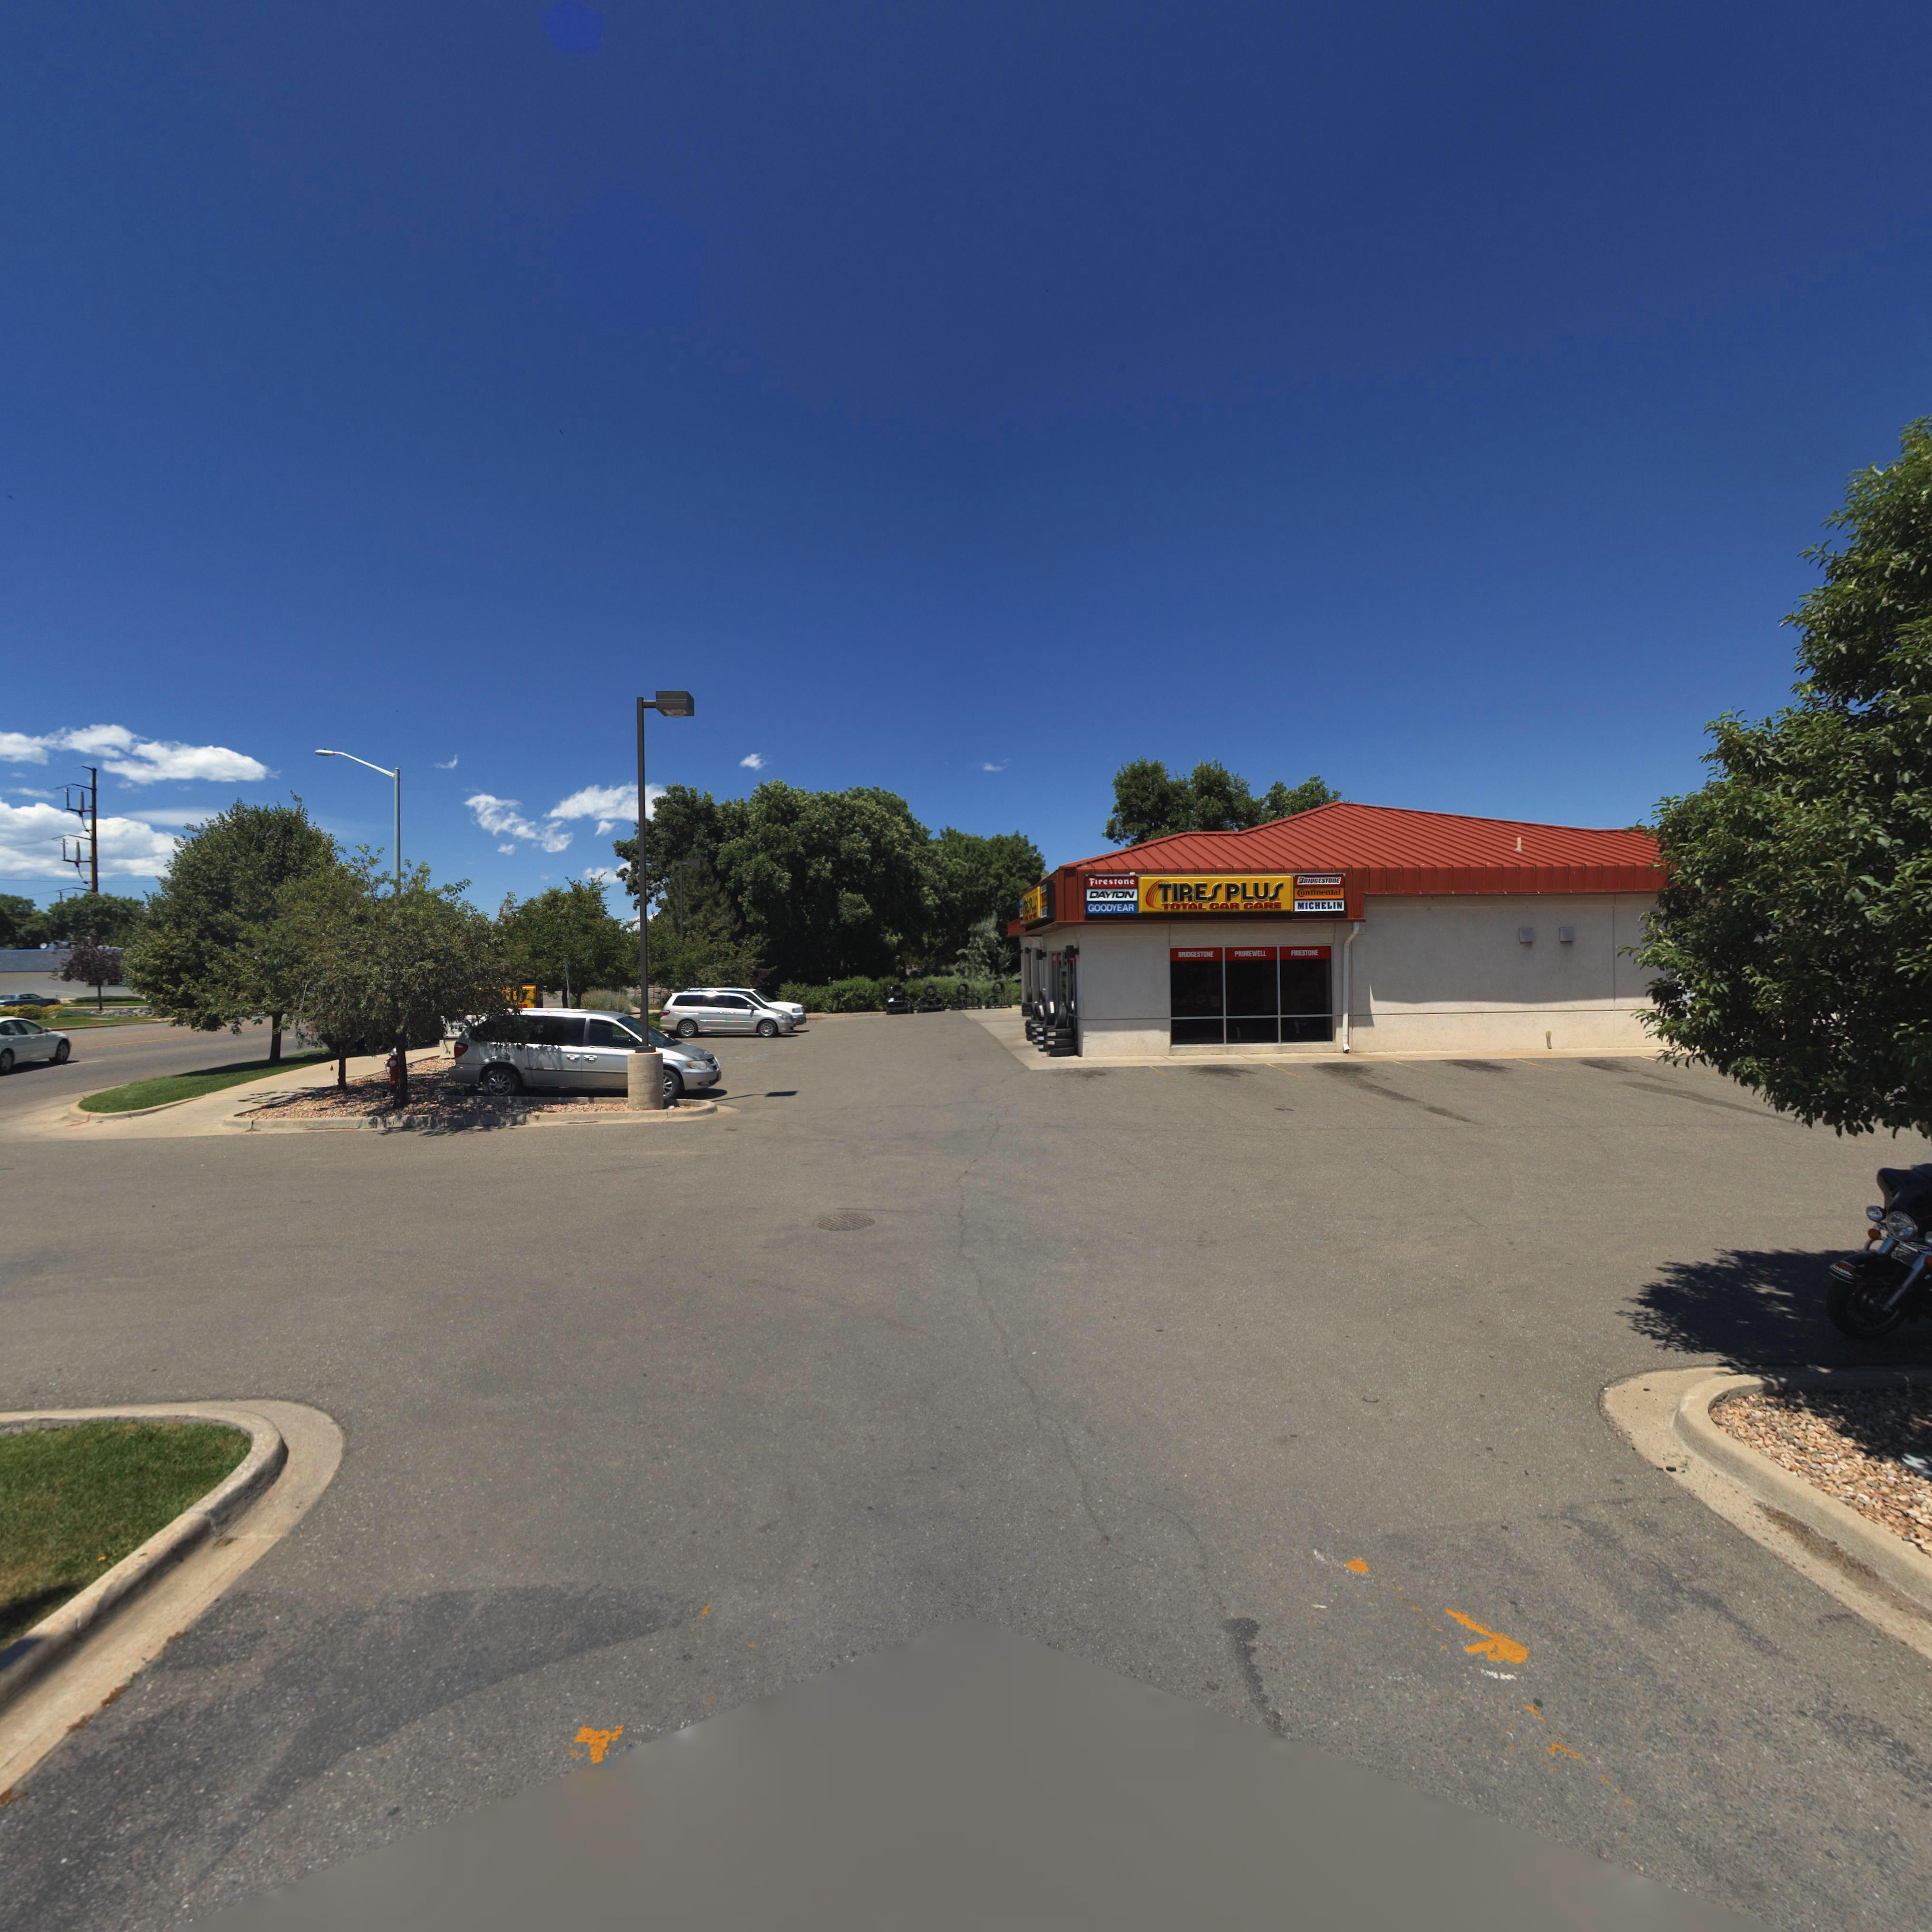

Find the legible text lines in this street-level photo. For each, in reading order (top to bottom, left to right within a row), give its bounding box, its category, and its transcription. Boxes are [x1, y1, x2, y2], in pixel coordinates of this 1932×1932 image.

[1158, 881, 1284, 901] BusinessName: TIRES PLUS